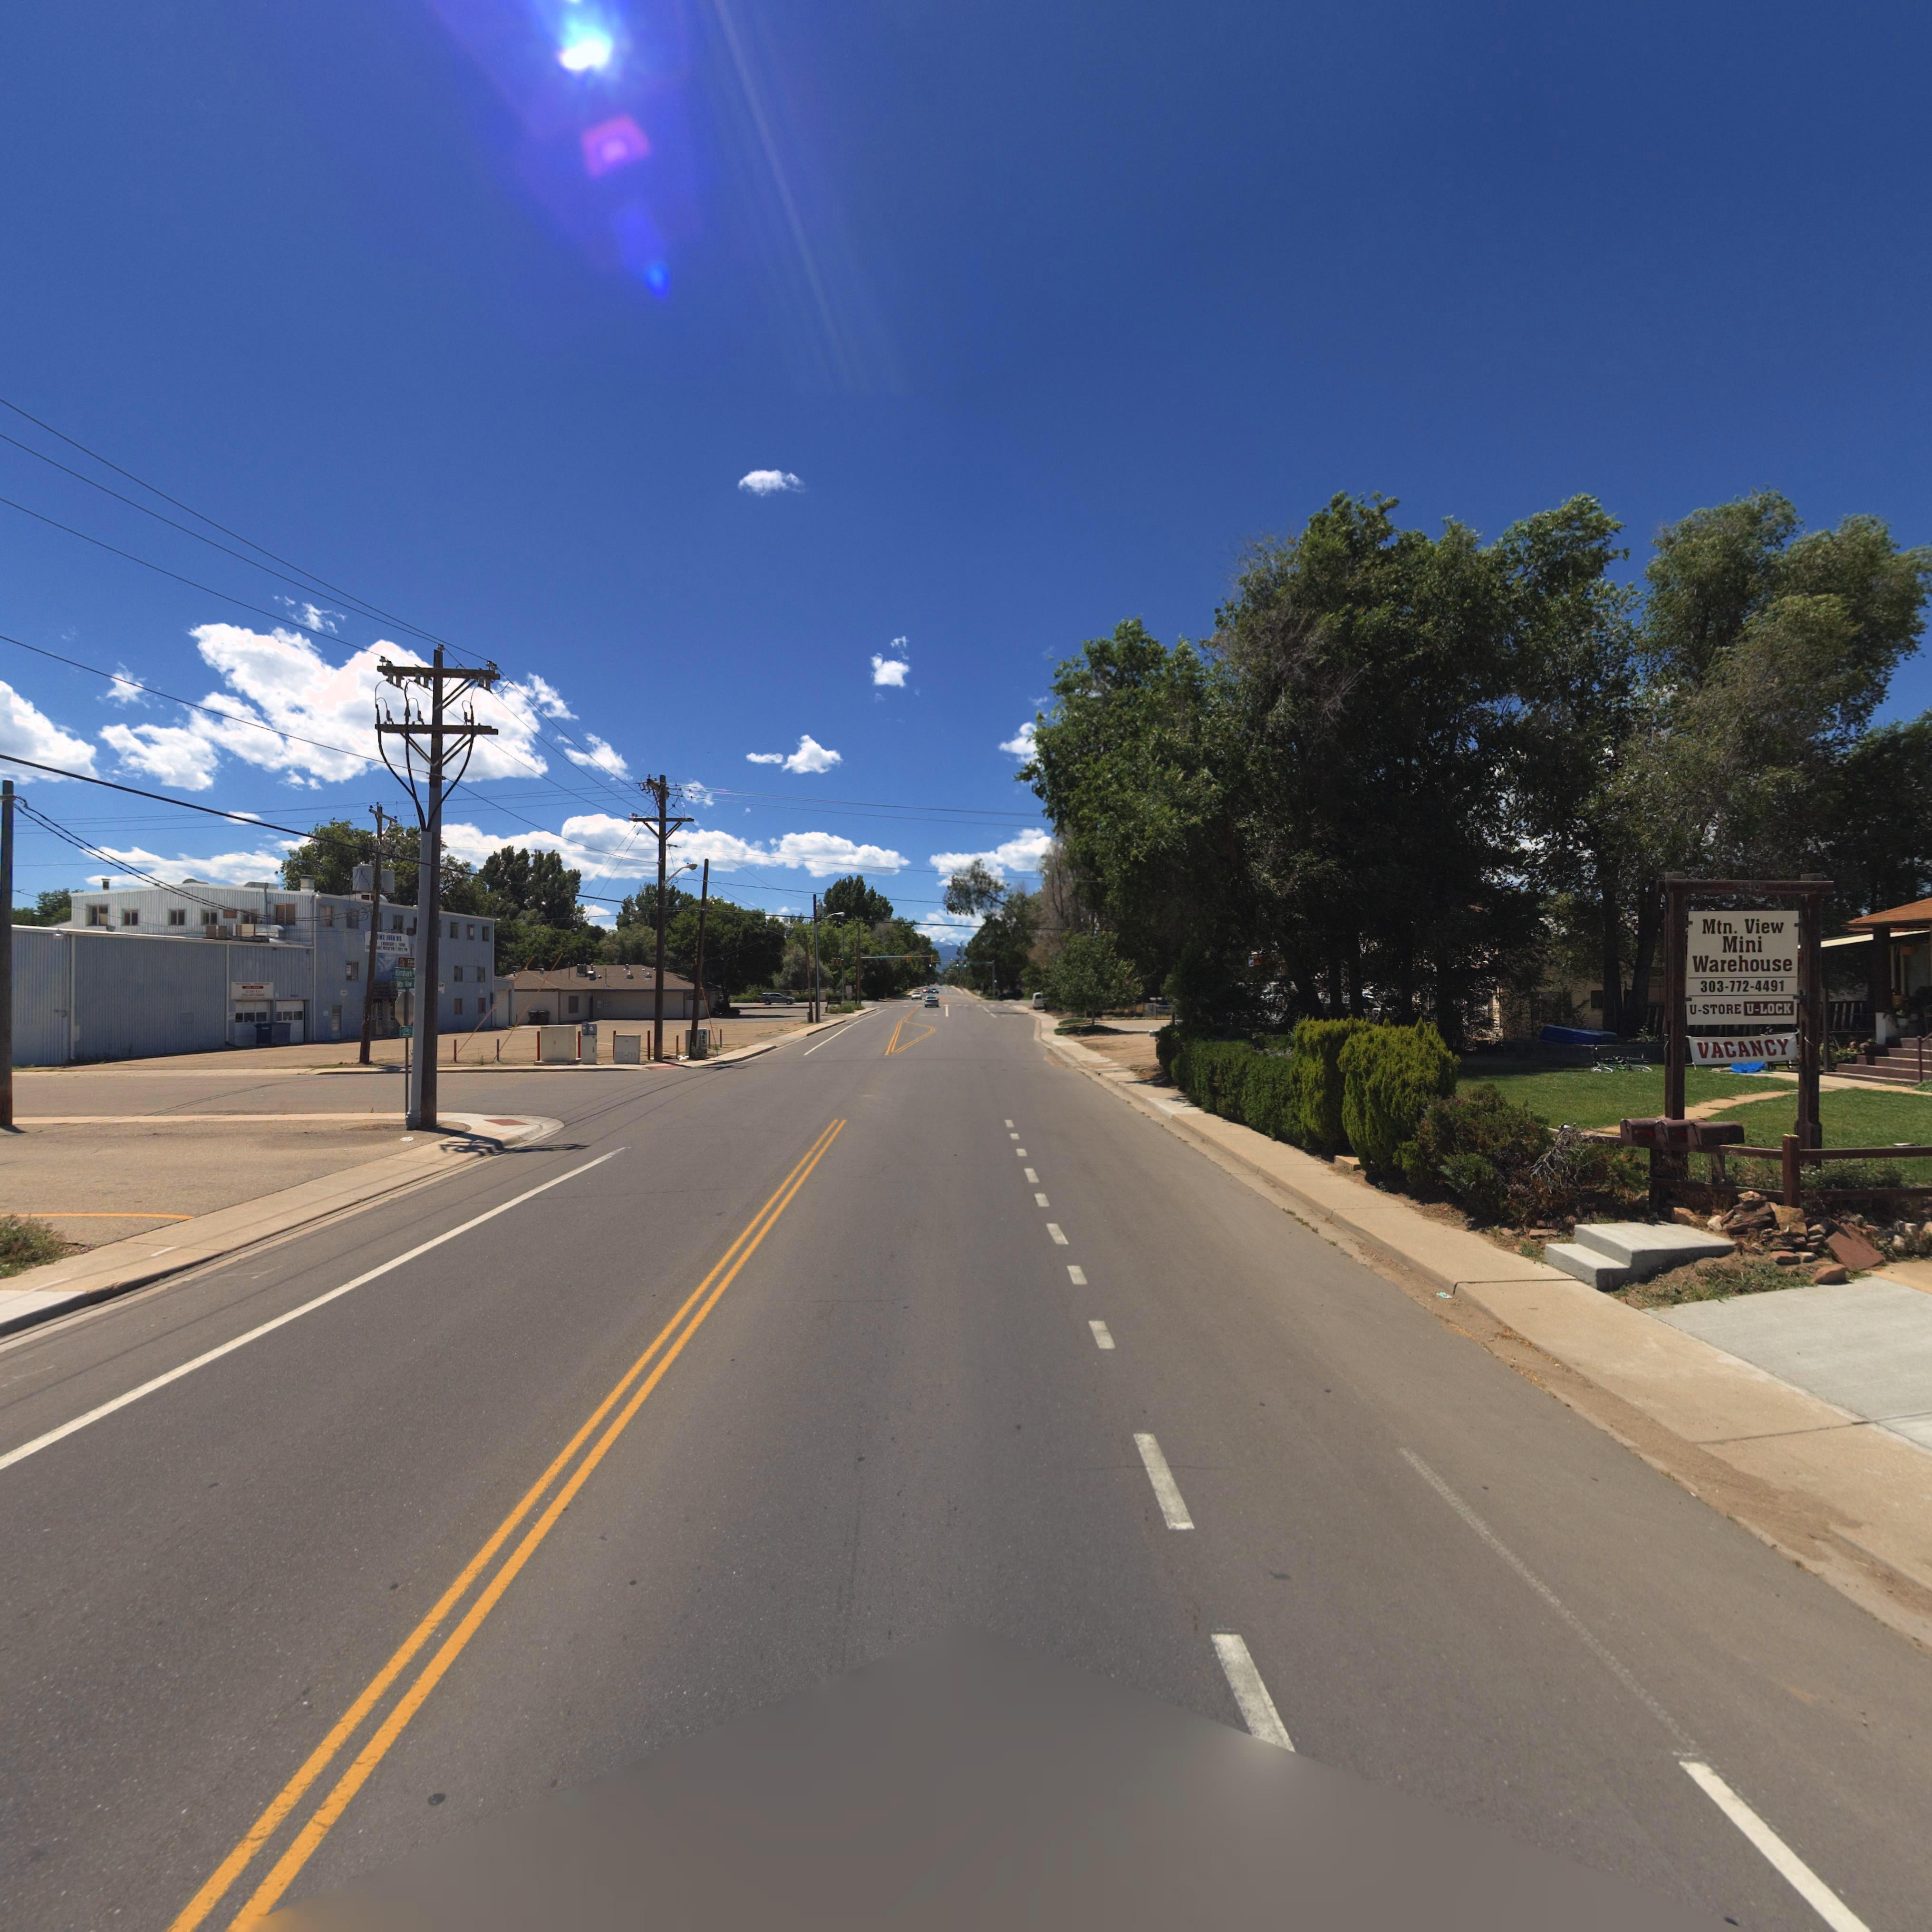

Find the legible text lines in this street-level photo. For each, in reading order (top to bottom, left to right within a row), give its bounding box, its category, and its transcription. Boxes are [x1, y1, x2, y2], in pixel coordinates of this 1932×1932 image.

[1736, 882, 1761, 892] StreetNumber: 440
[1701, 918, 1784, 934] BusinessName: Mtn. View
[1721, 935, 1762, 953] BusinessName: Mini
[1691, 955, 1793, 972] BusinessName: Warehouse
[395, 968, 414, 977] StreetName: Kimbark
[397, 979, 412, 987] StreetName: Mtn View